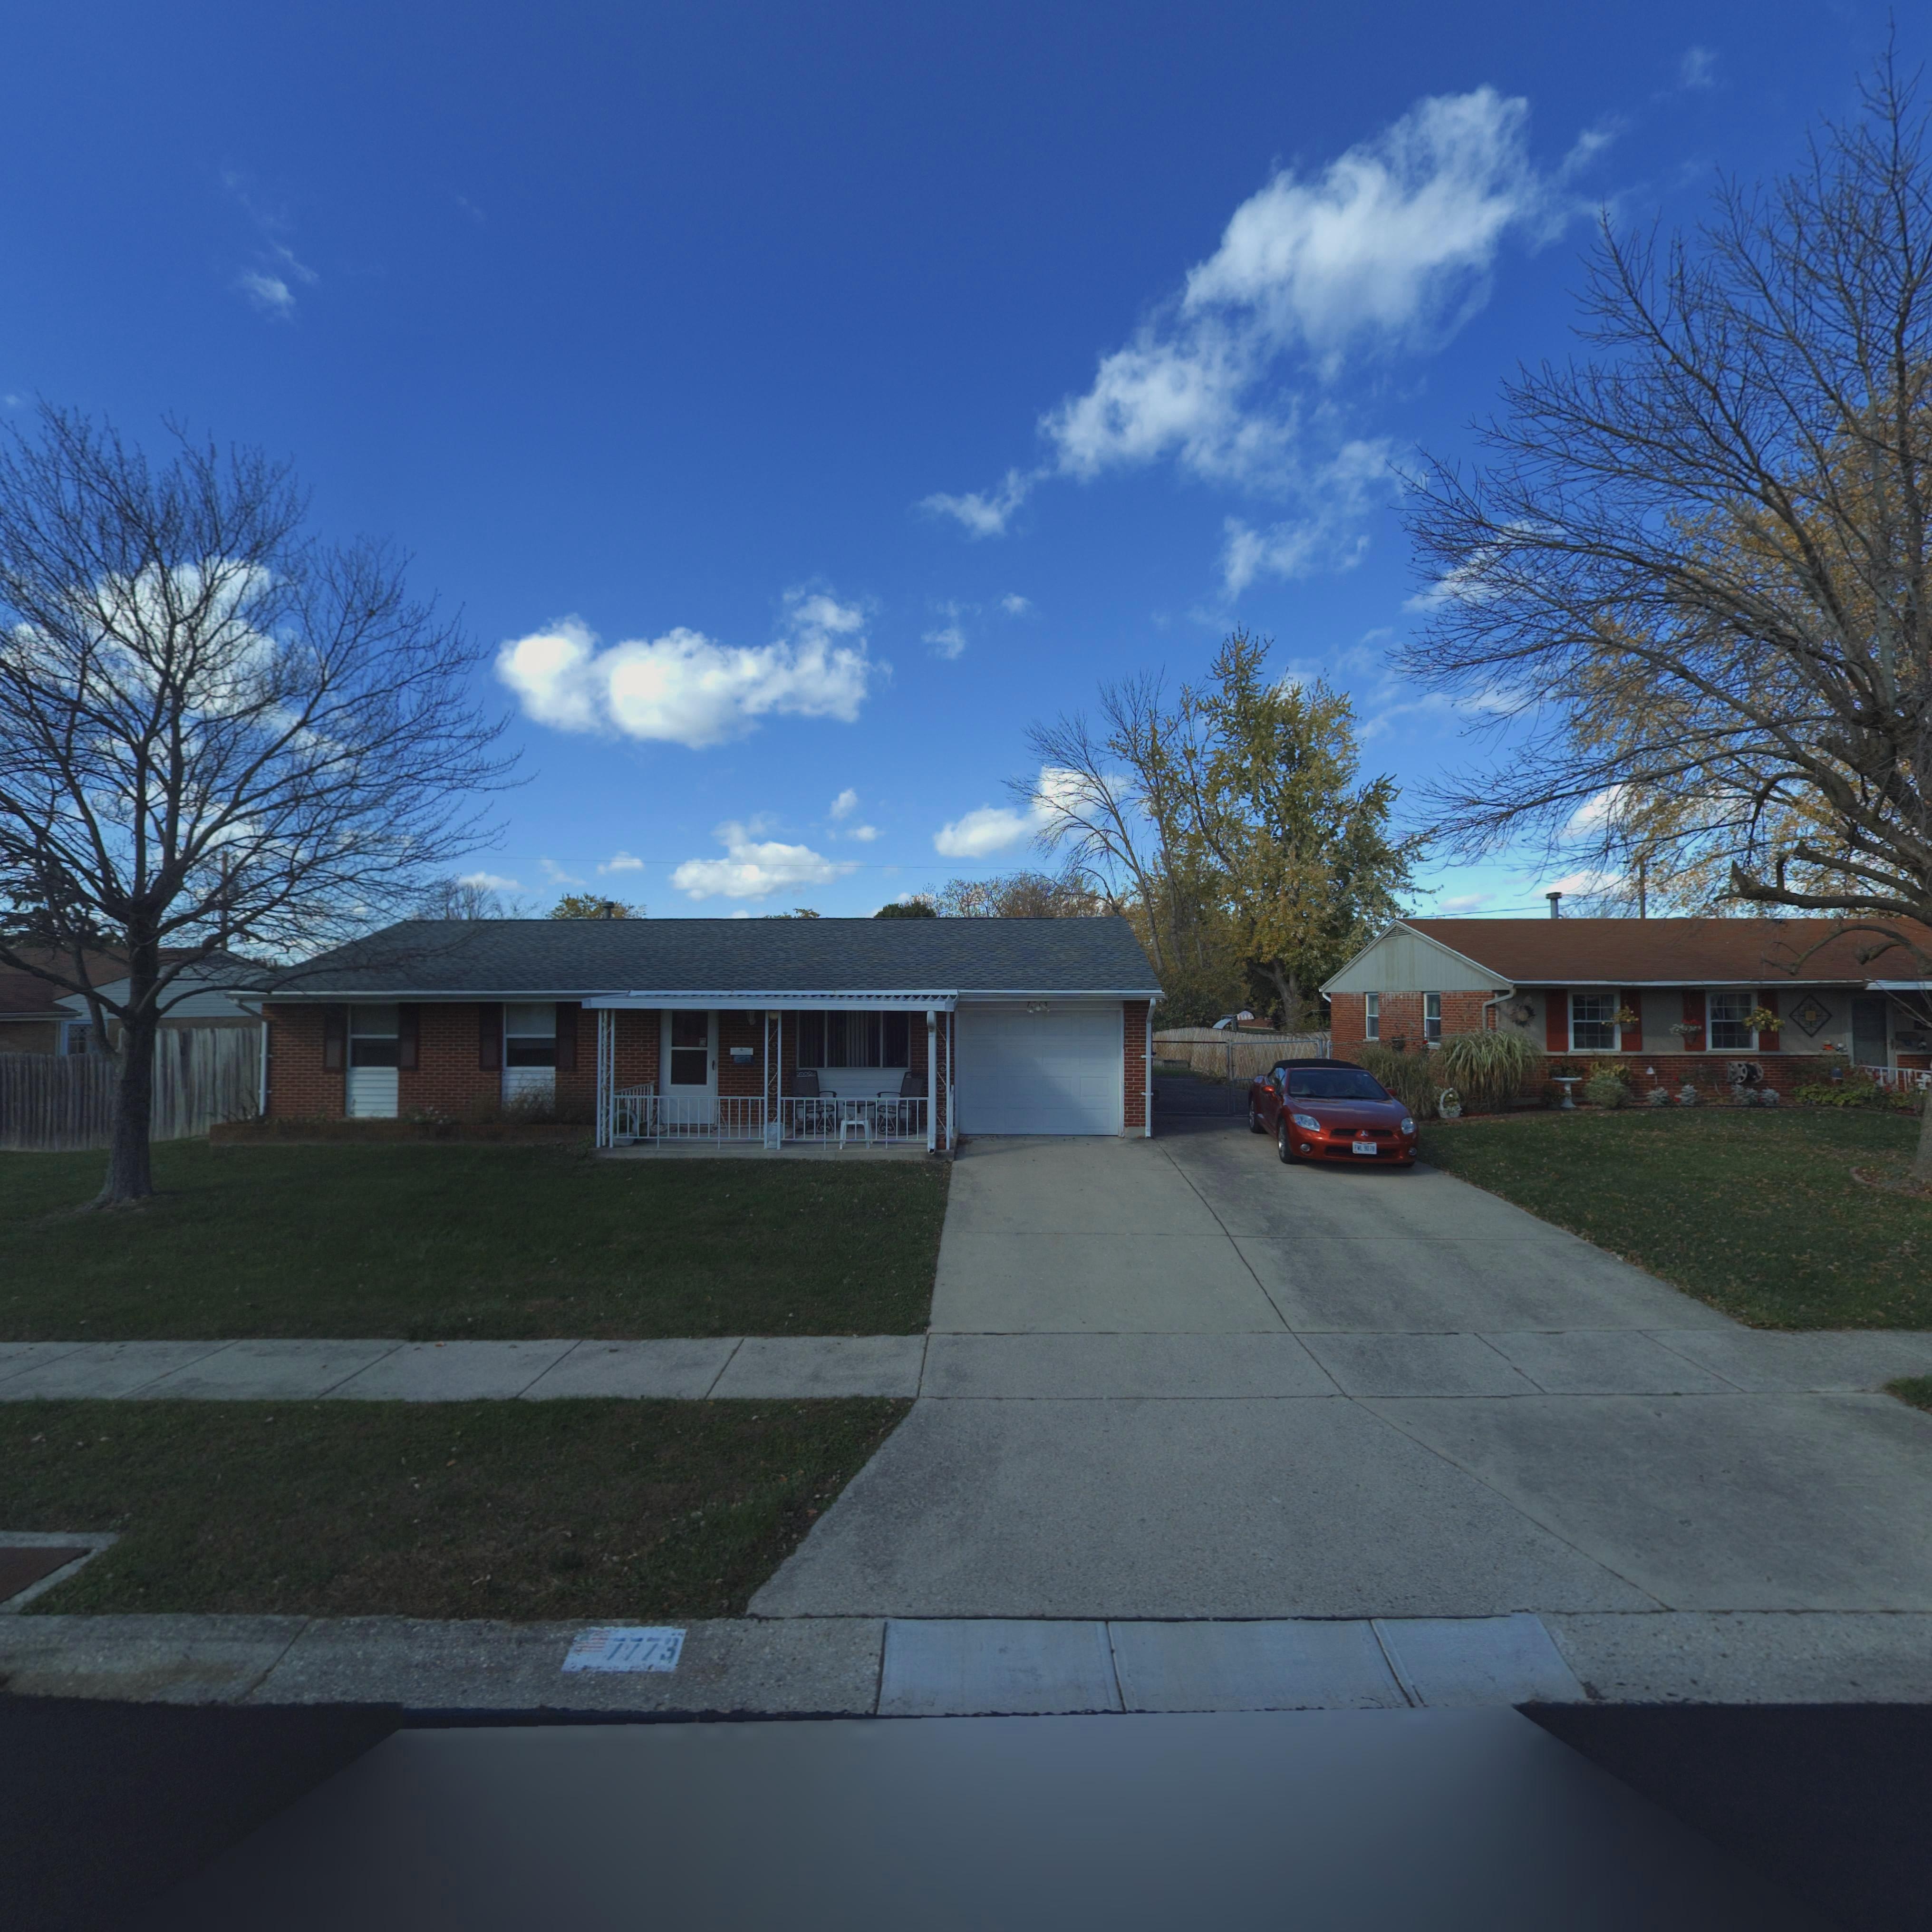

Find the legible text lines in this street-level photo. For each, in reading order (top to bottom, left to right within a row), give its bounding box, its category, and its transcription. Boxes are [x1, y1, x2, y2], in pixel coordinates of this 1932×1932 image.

[1026, 1001, 1048, 1008] StreetNumber: 7*73
[604, 1636, 681, 1663] StreetNumber: 7773